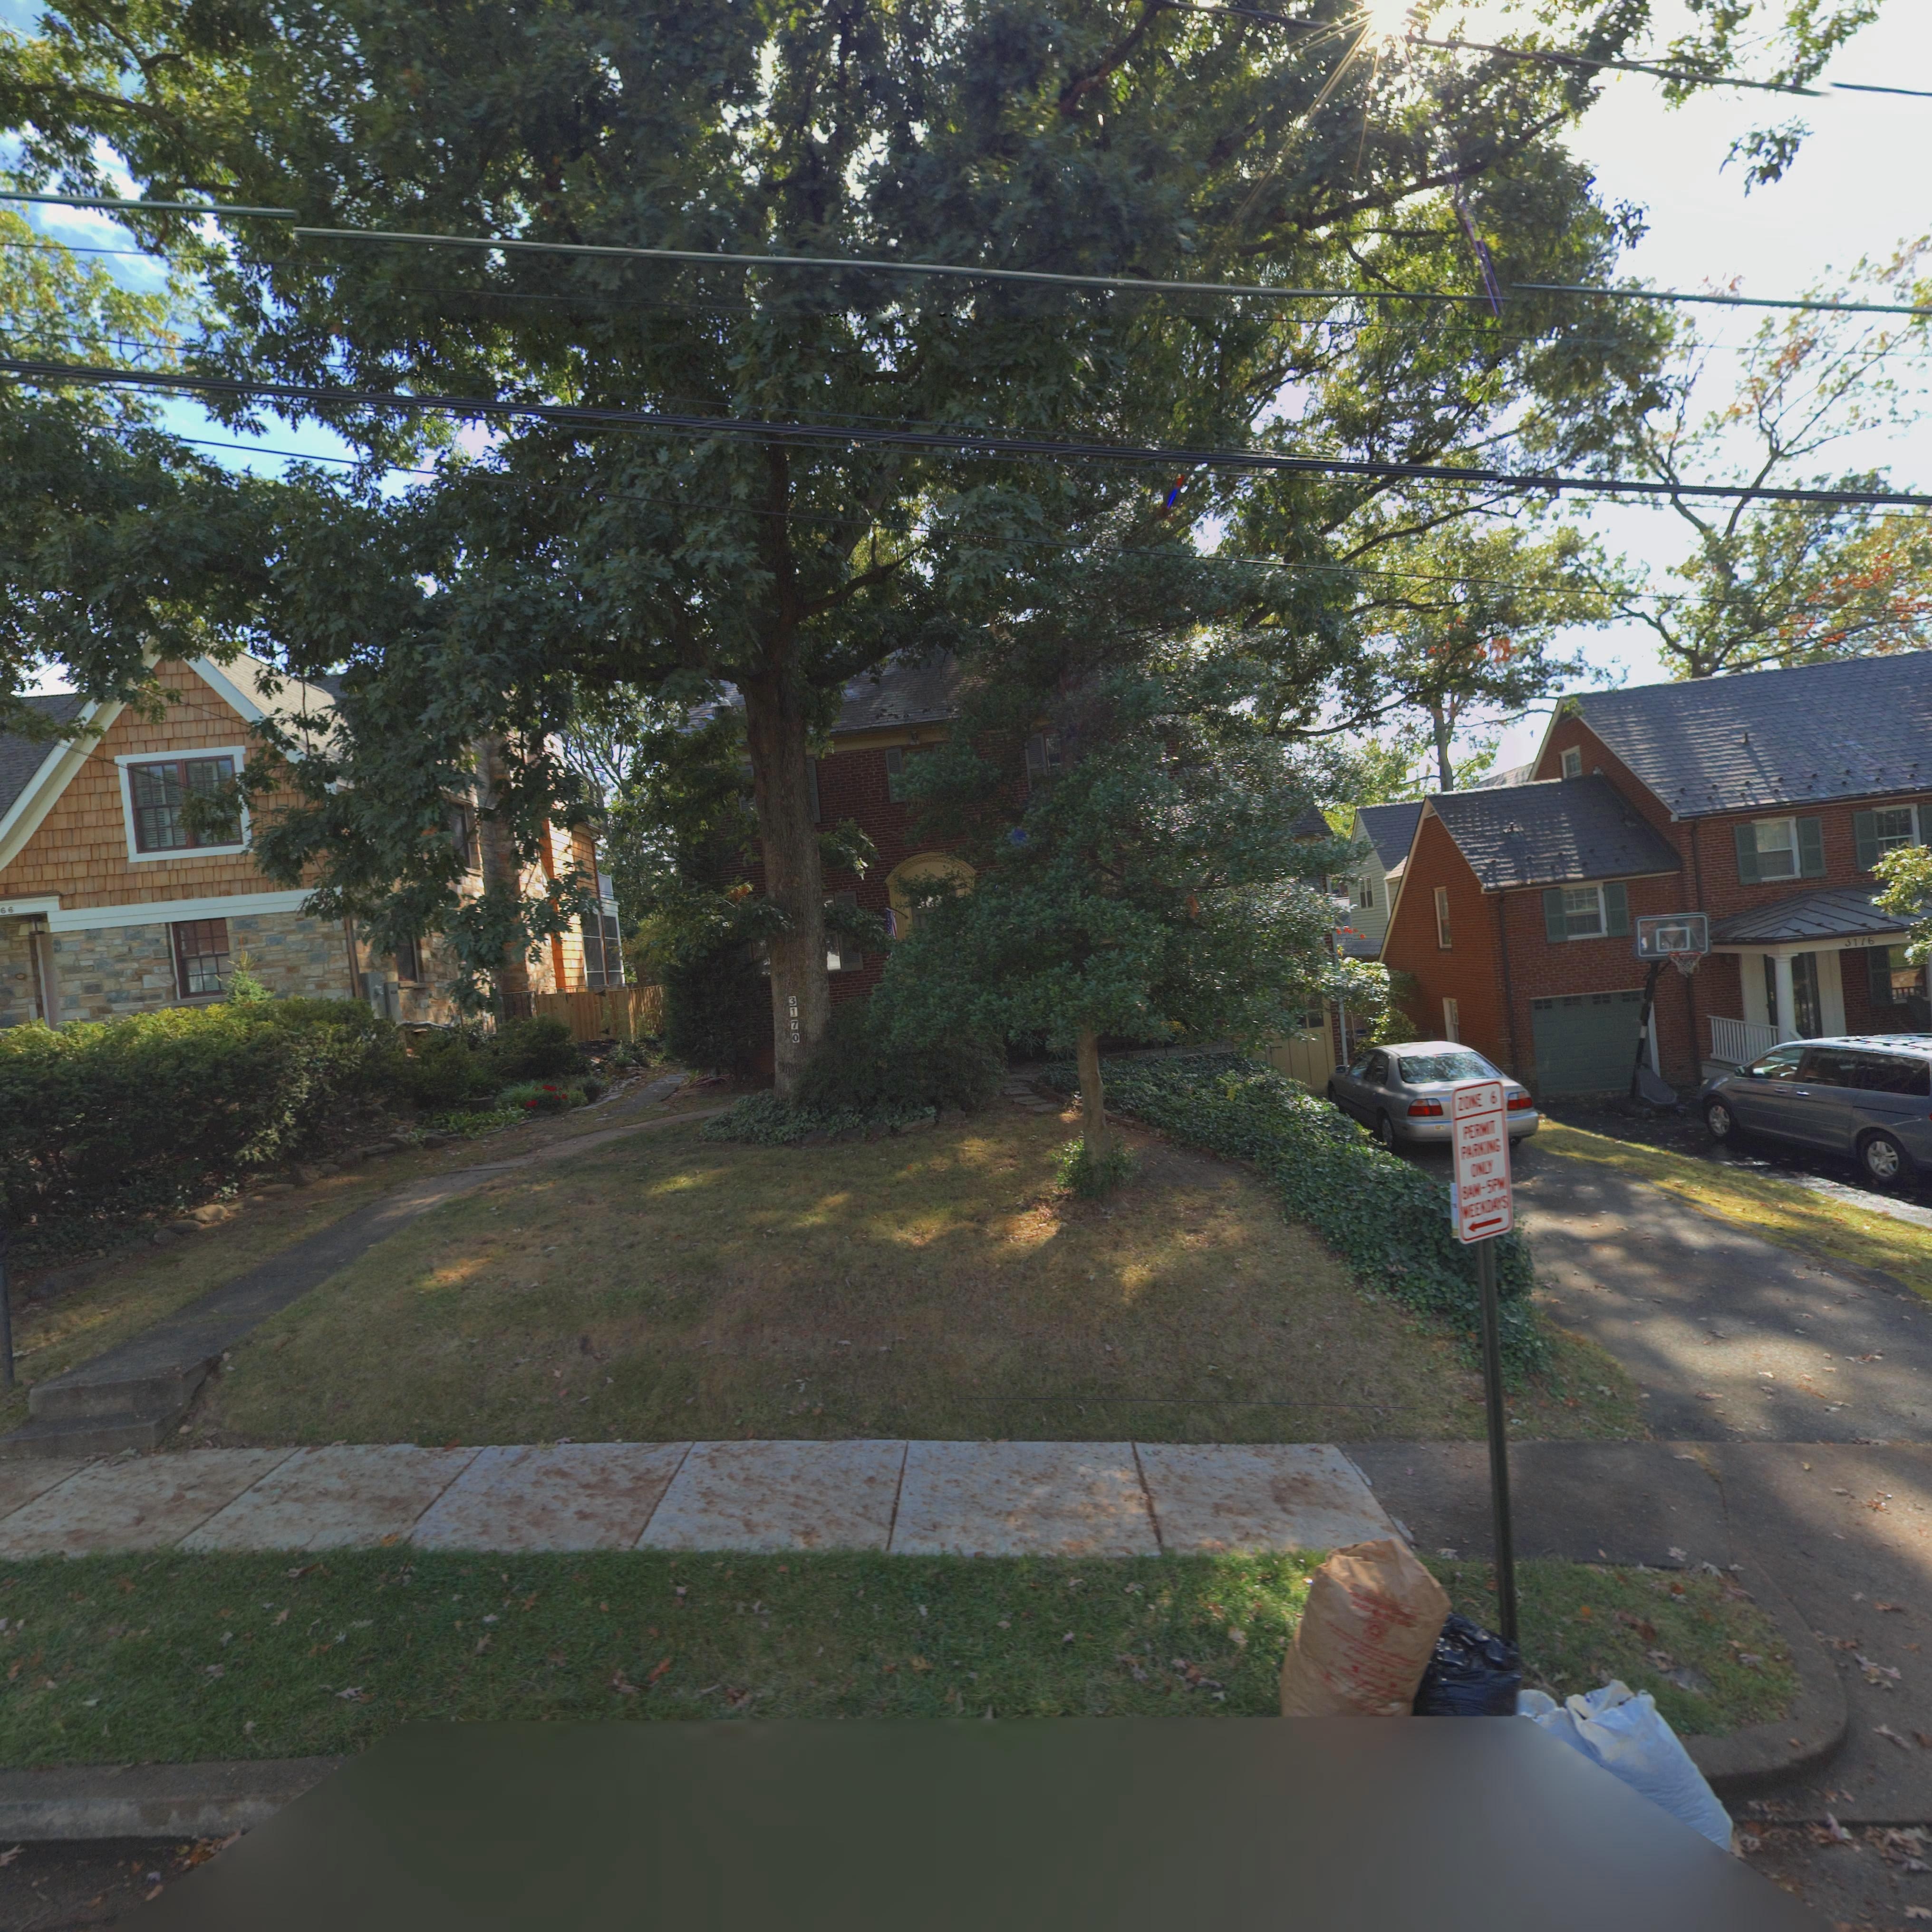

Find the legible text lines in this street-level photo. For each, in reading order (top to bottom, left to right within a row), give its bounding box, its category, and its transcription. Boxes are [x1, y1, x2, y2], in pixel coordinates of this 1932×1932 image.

[0, 905, 15, 916] StreetNumber: 66
[1842, 935, 1878, 949] StreetNumber: ***6
[788, 995, 800, 1043] StreetNumber: 3170
[1455, 1088, 1500, 1115] None: ZONE 6
[1460, 1117, 1499, 1143] None: PER***
[1458, 1135, 1503, 1164] None: PA*****G
[1459, 1173, 1507, 1204] None: 8AM-5PM